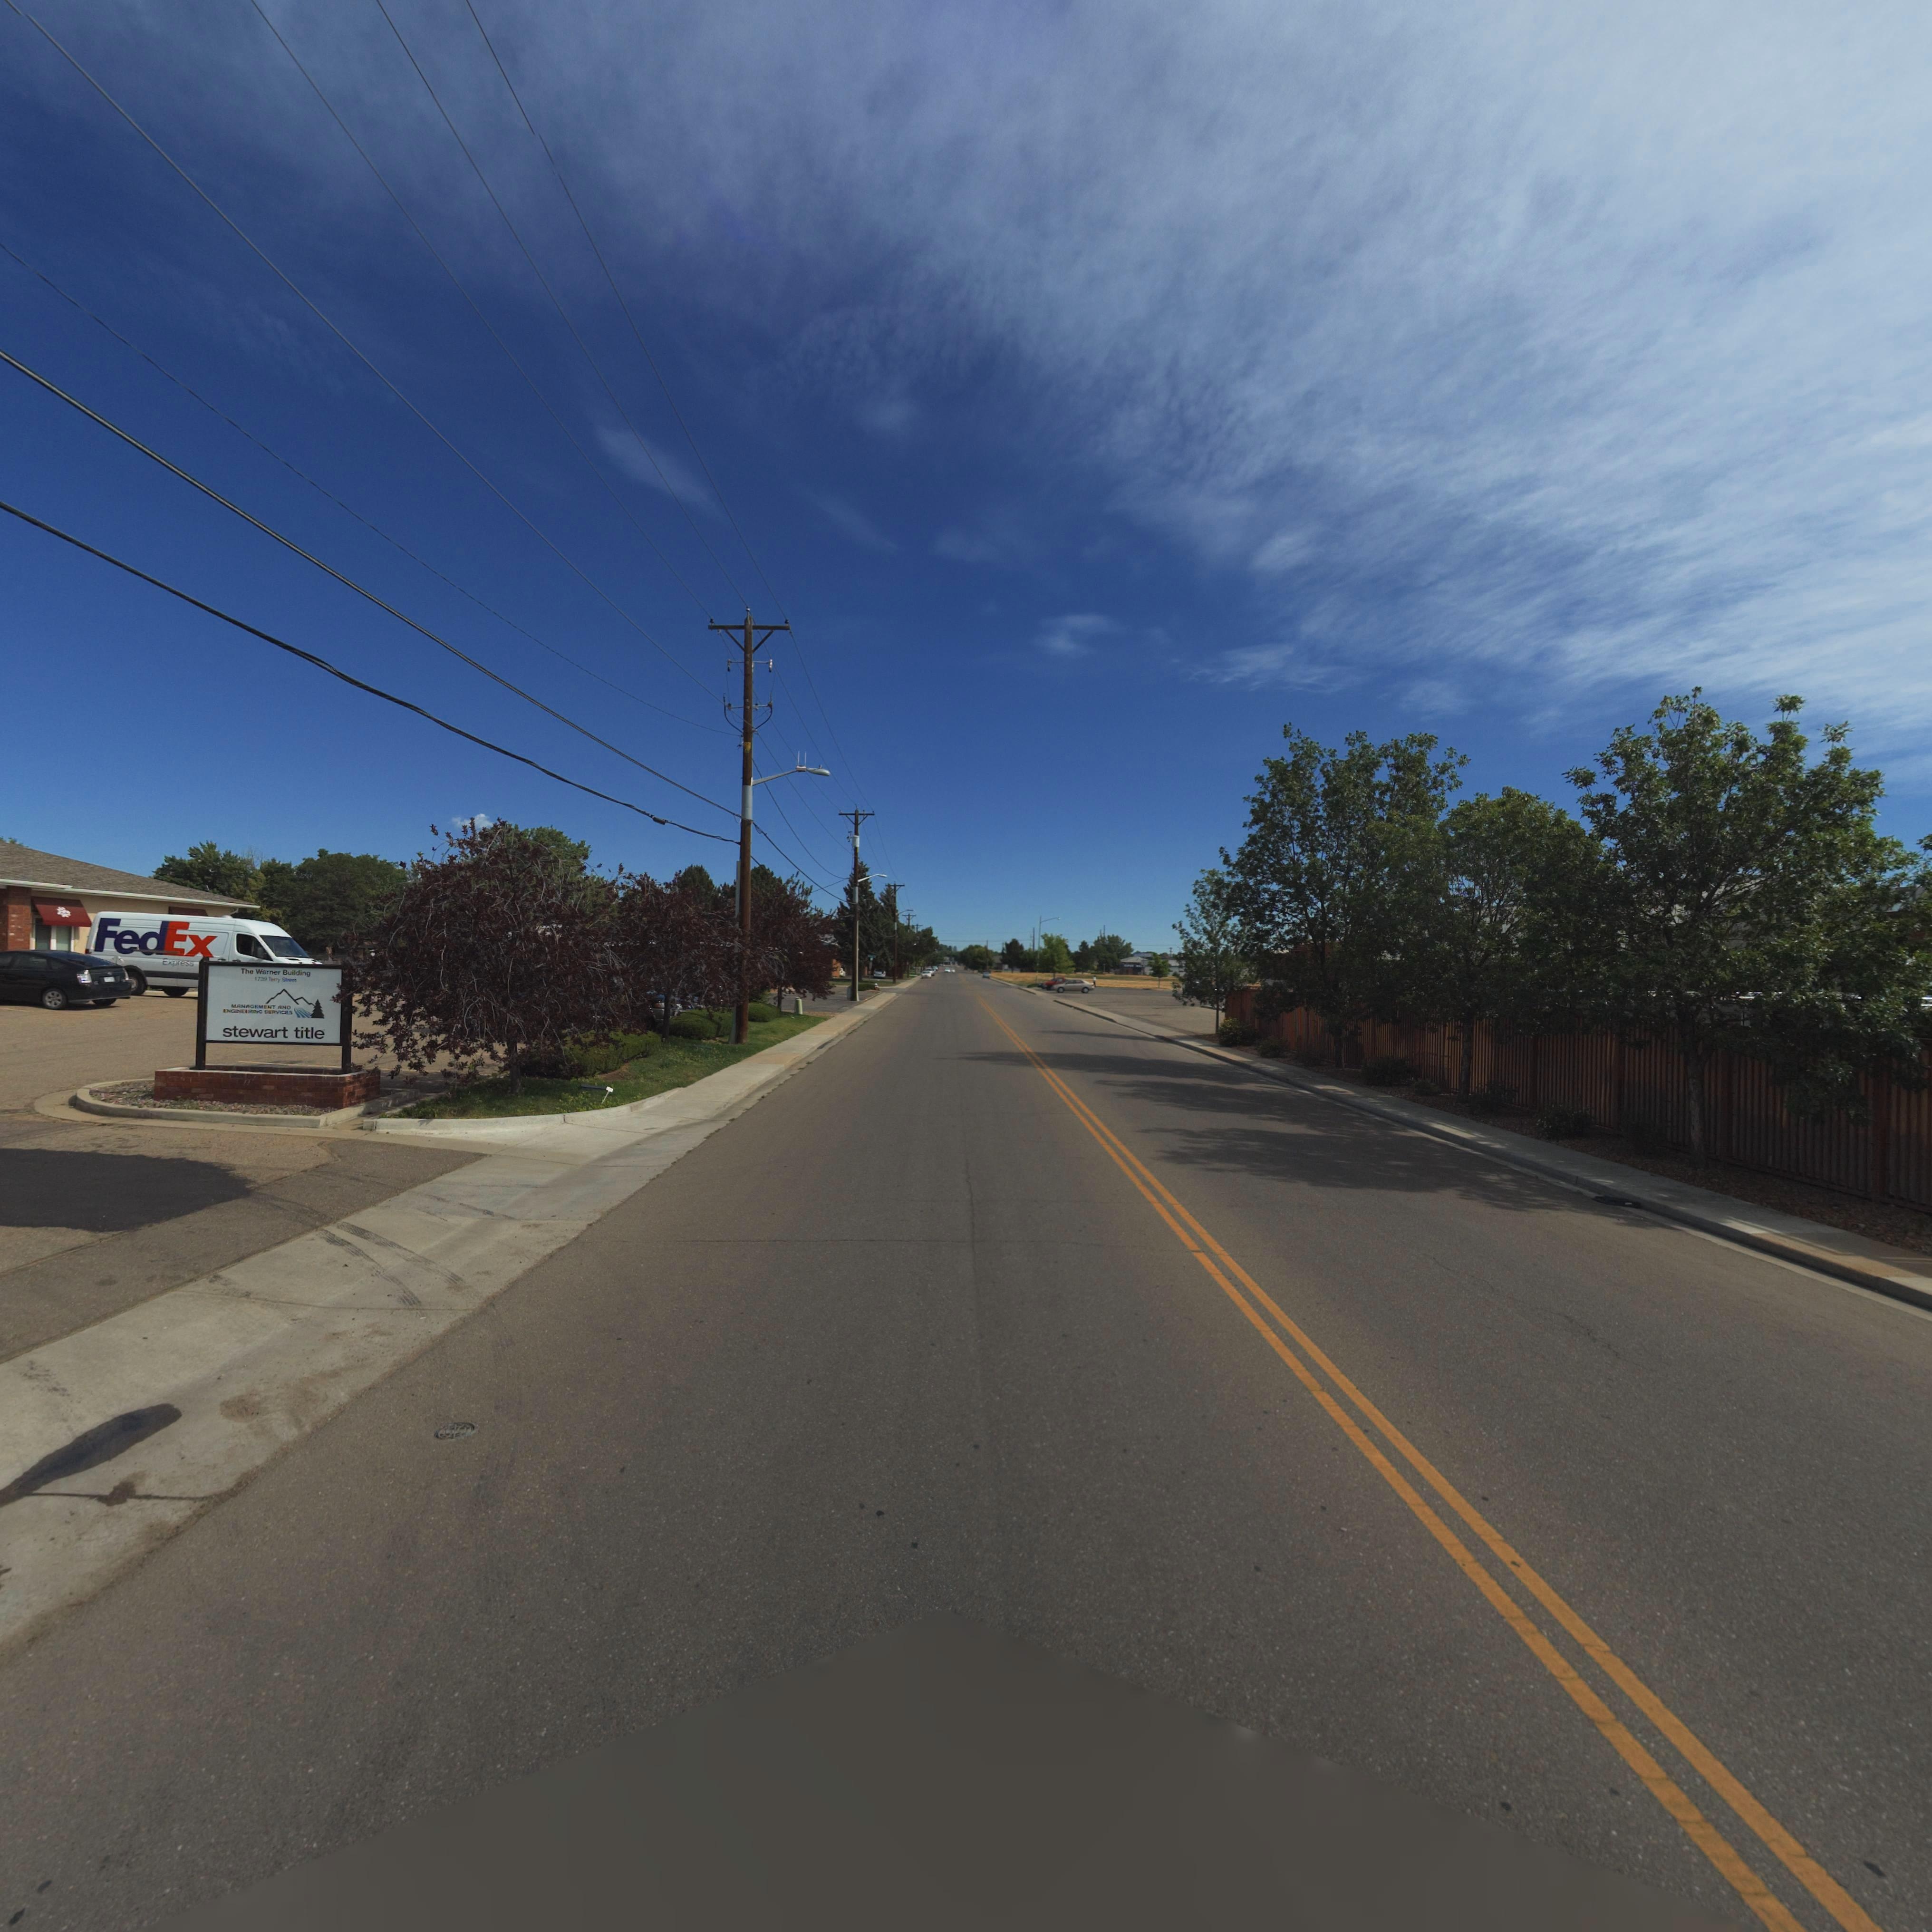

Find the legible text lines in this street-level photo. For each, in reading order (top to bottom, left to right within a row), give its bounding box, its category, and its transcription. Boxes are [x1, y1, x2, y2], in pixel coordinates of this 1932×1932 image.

[254, 976, 268, 982] StreetNumber: 1739
[268, 976, 297, 983] StreetName: Terry Street
[231, 1003, 292, 1010] BusinessName: MANAGEMENT AND
[222, 1008, 293, 1015] BusinessName: ENGINEERING SERVICES
[222, 1025, 325, 1040] BusinessName: stewart title